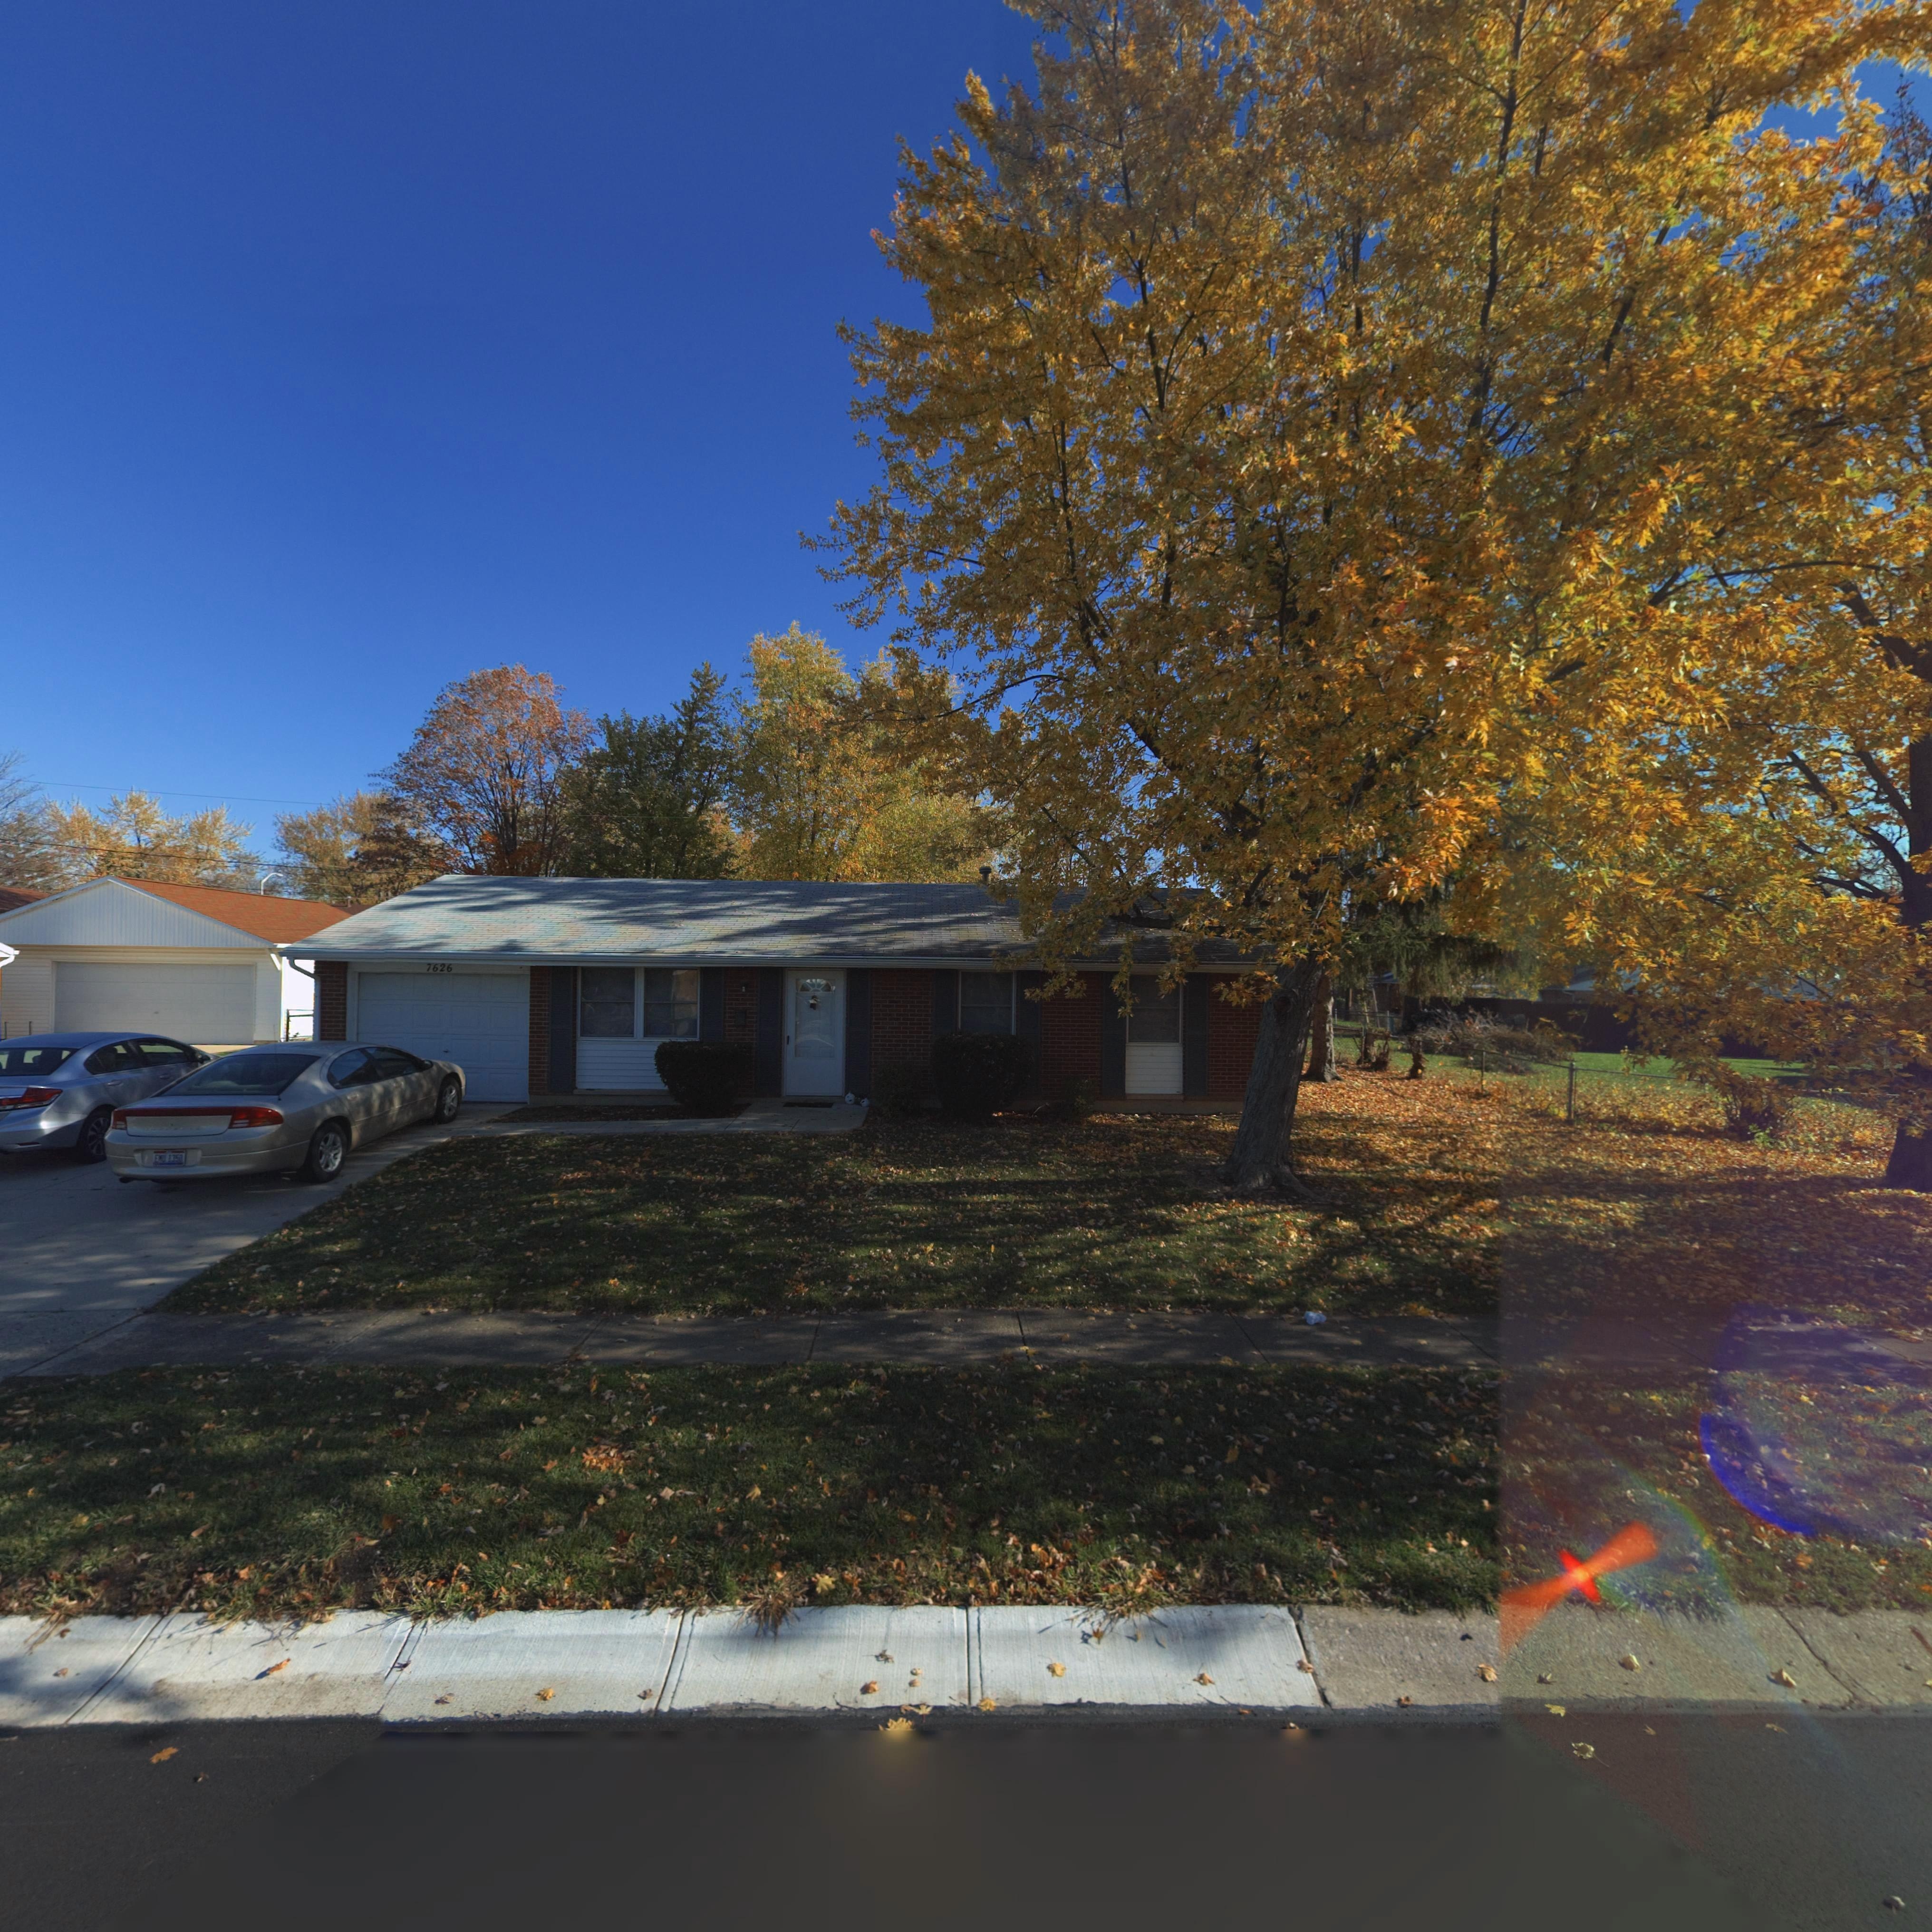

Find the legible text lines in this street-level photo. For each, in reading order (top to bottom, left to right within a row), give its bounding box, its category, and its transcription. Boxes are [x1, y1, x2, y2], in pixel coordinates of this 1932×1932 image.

[425, 962, 454, 973] StreetNumber: 7626